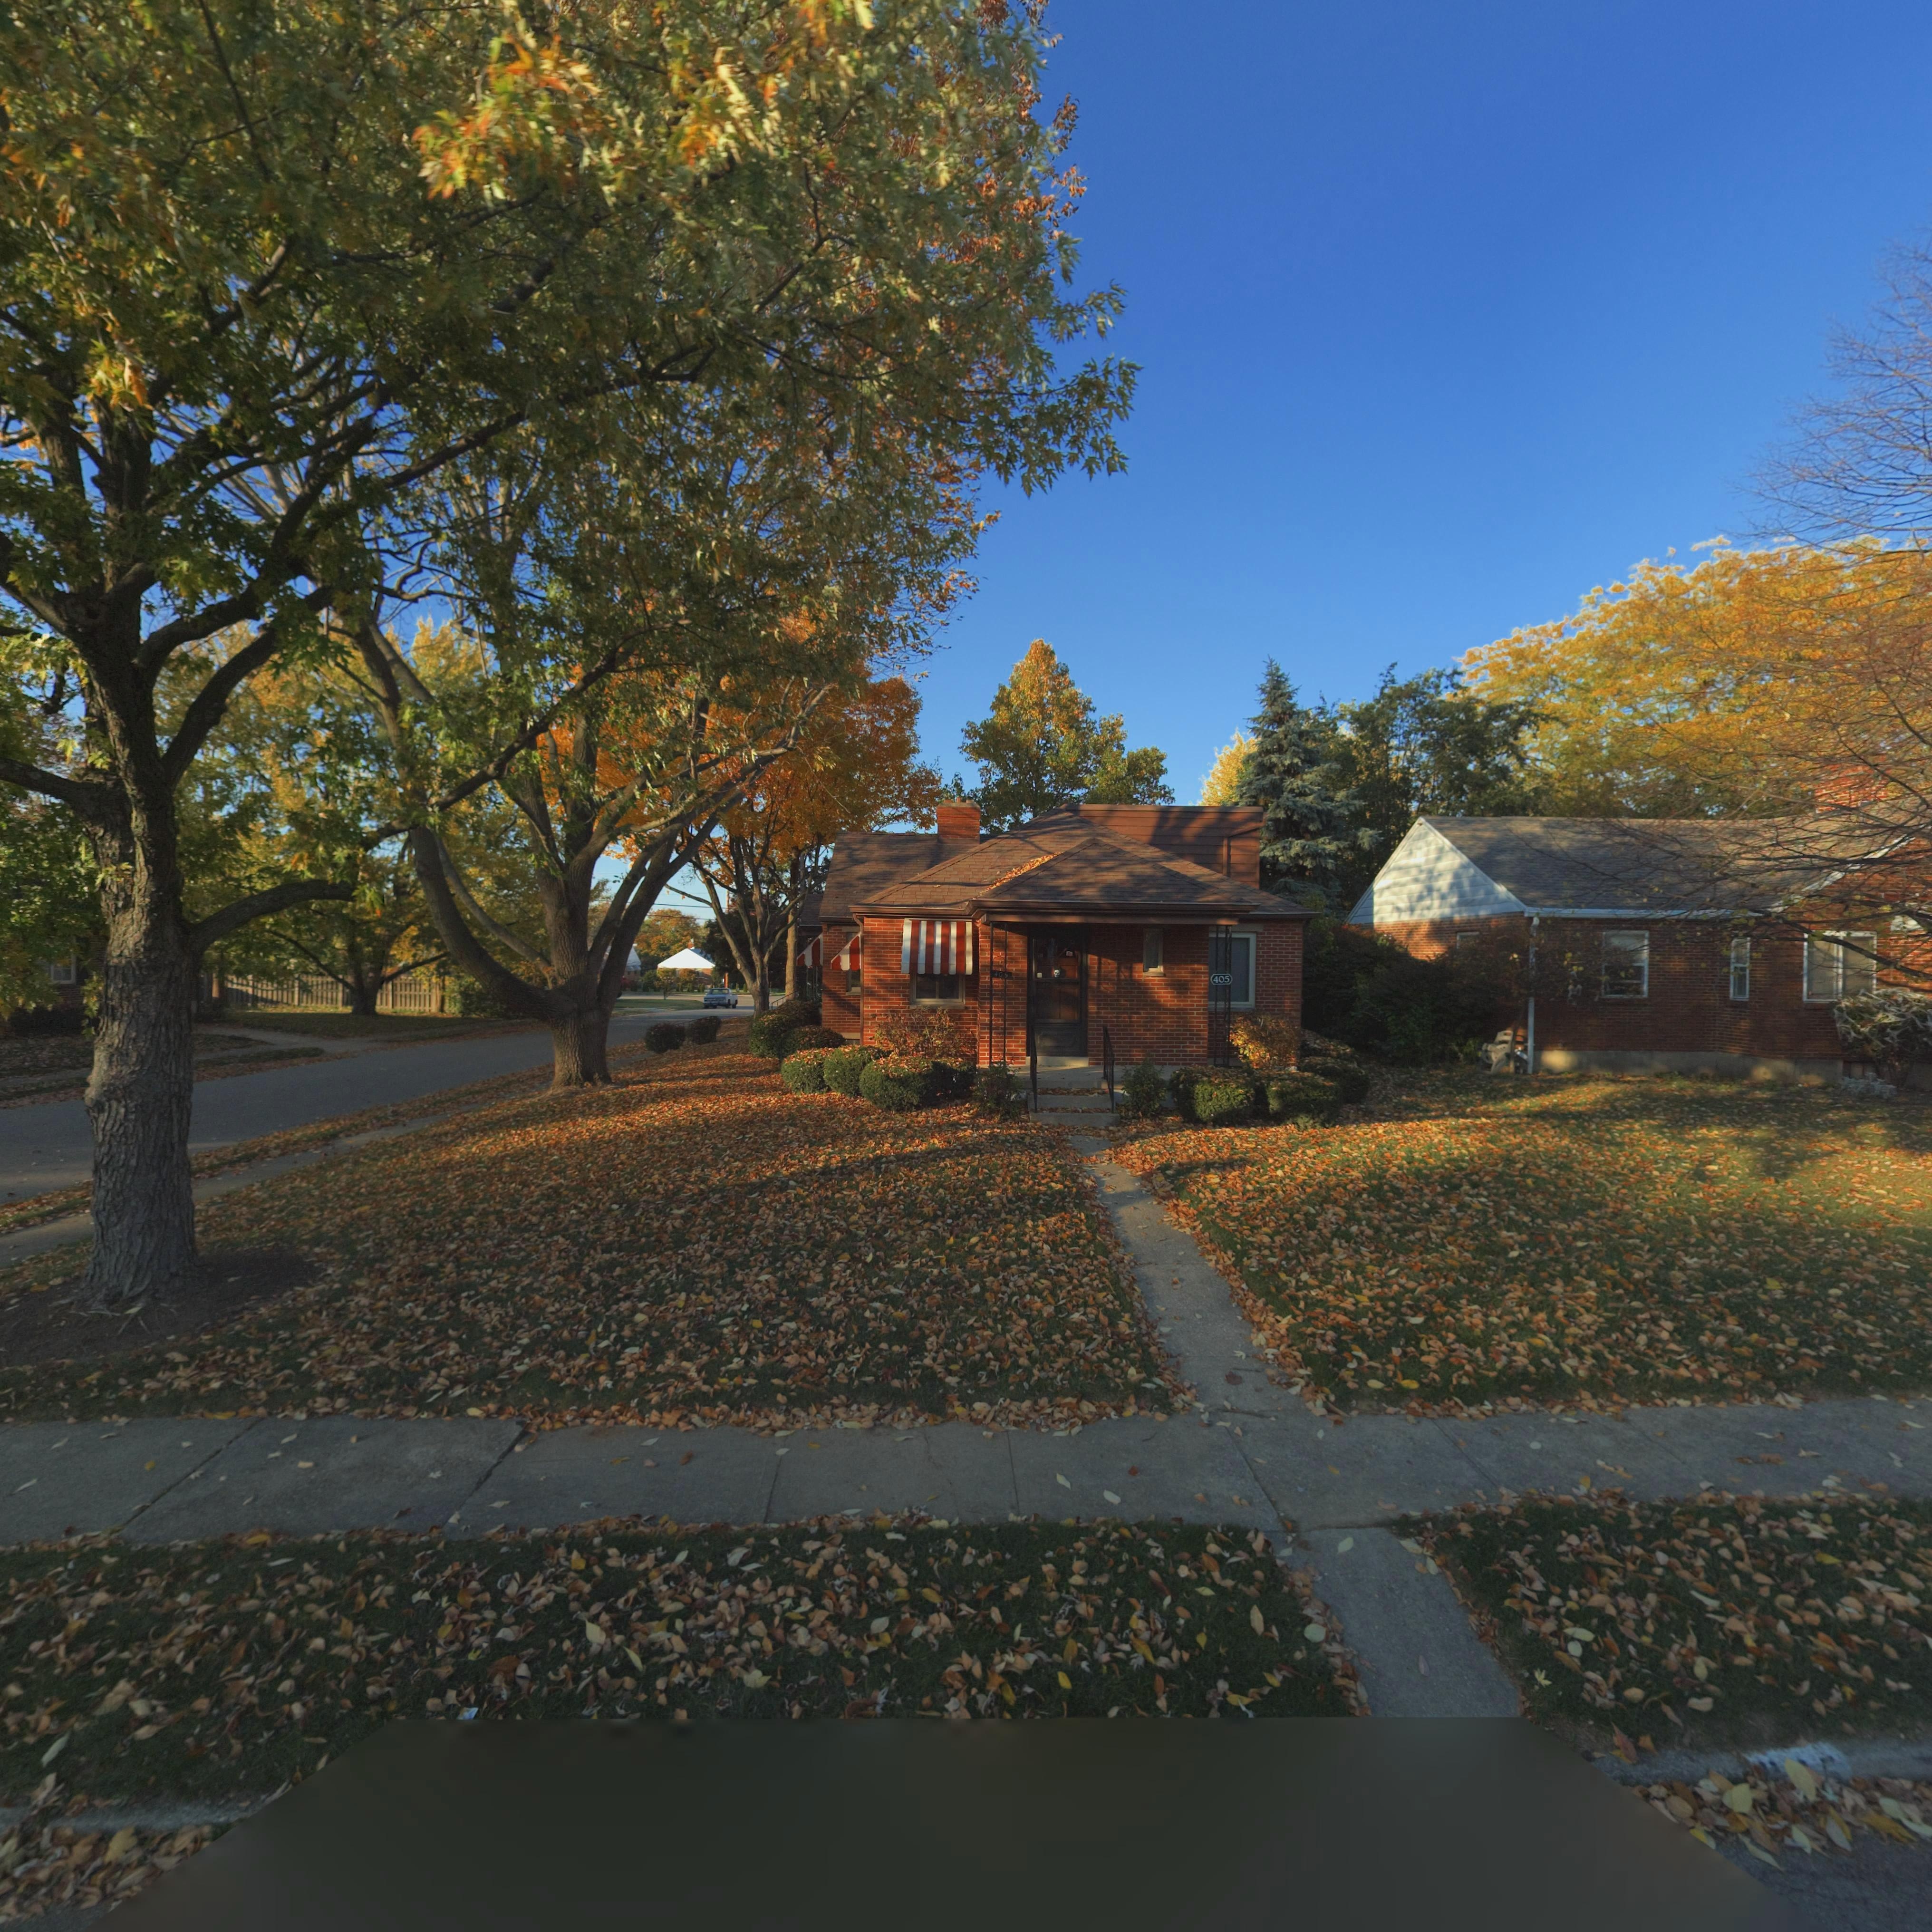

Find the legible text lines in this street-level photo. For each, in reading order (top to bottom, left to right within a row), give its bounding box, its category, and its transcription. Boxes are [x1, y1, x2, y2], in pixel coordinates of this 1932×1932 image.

[1212, 975, 1231, 984] StreetNumber: 405